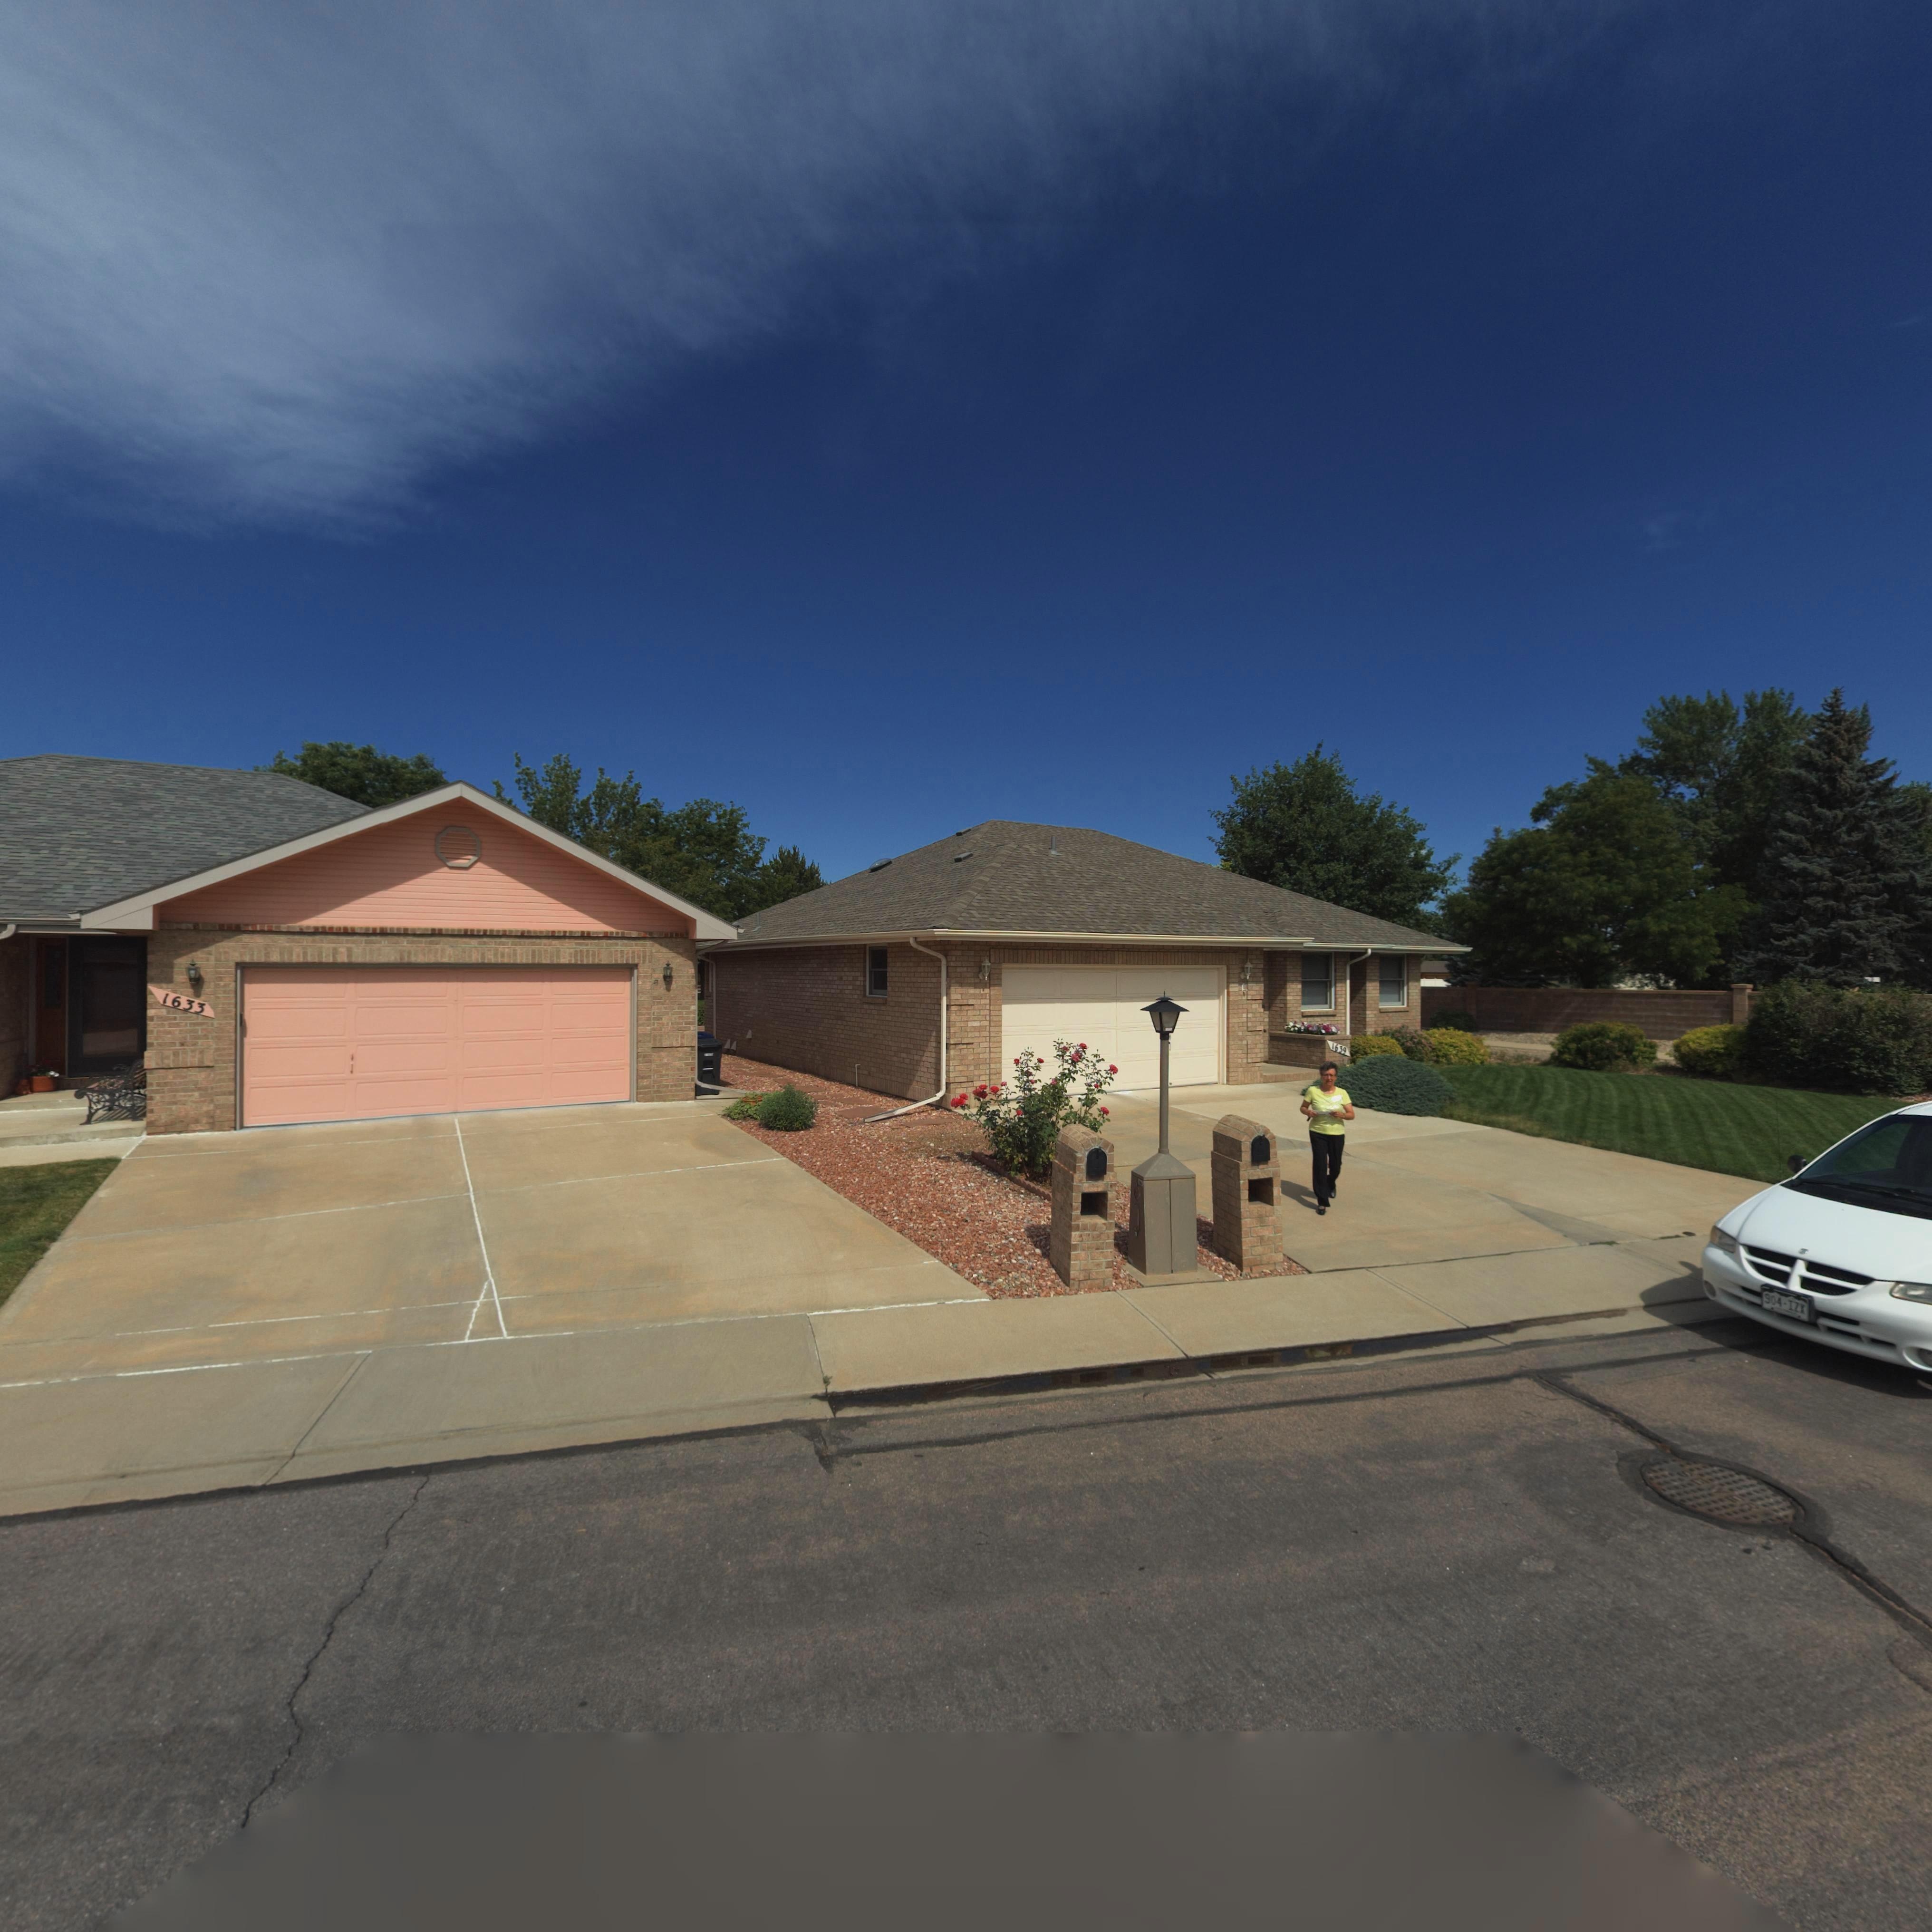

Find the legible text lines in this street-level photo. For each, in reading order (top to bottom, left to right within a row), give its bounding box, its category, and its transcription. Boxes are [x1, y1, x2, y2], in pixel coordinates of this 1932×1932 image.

[162, 992, 206, 1014] StreetNumber: 1633
[1332, 1042, 1346, 1054] StreetNumber: 1639